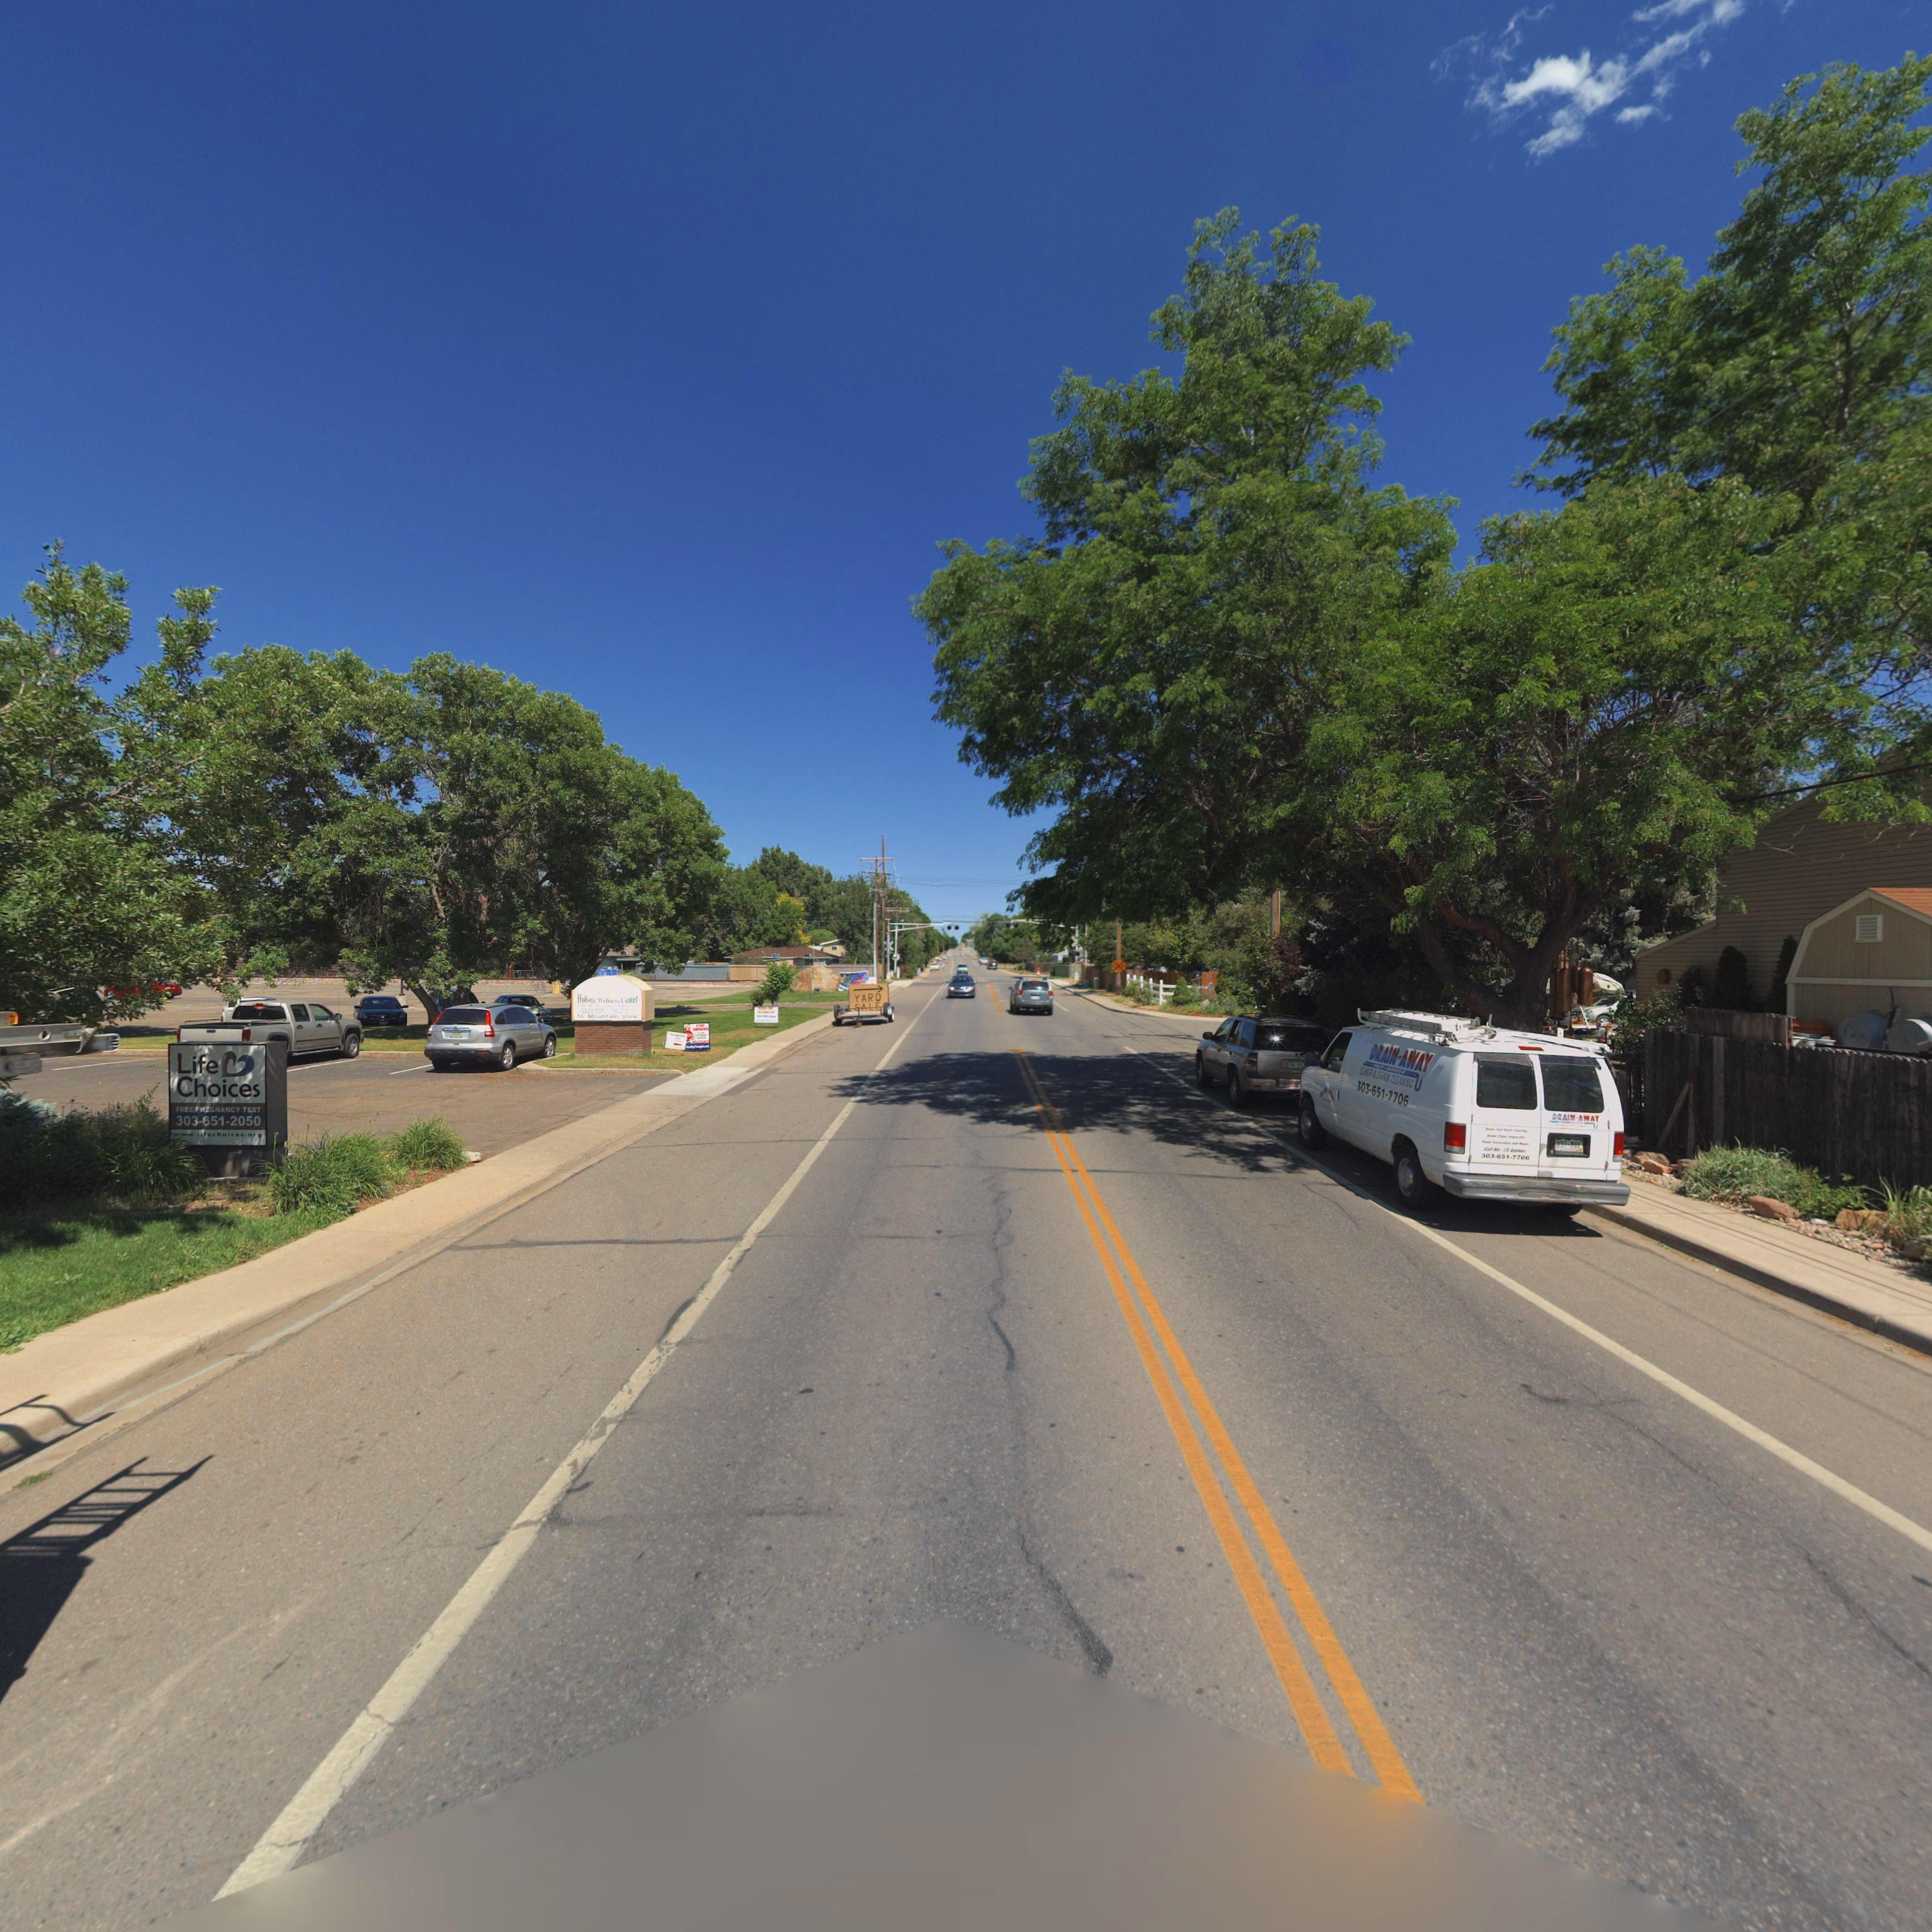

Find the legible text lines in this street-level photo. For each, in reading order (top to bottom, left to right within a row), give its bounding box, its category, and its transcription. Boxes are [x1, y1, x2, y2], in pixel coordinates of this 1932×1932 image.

[577, 993, 638, 1004] BusinessName: Hollistic Wellness Center
[577, 1014, 584, 1018] StreetNumber: 16
[588, 1014, 638, 1018] StreetName: Mountain View
[176, 1053, 219, 1074] BusinessName: Life
[176, 1075, 261, 1097] BusinessName: Choices